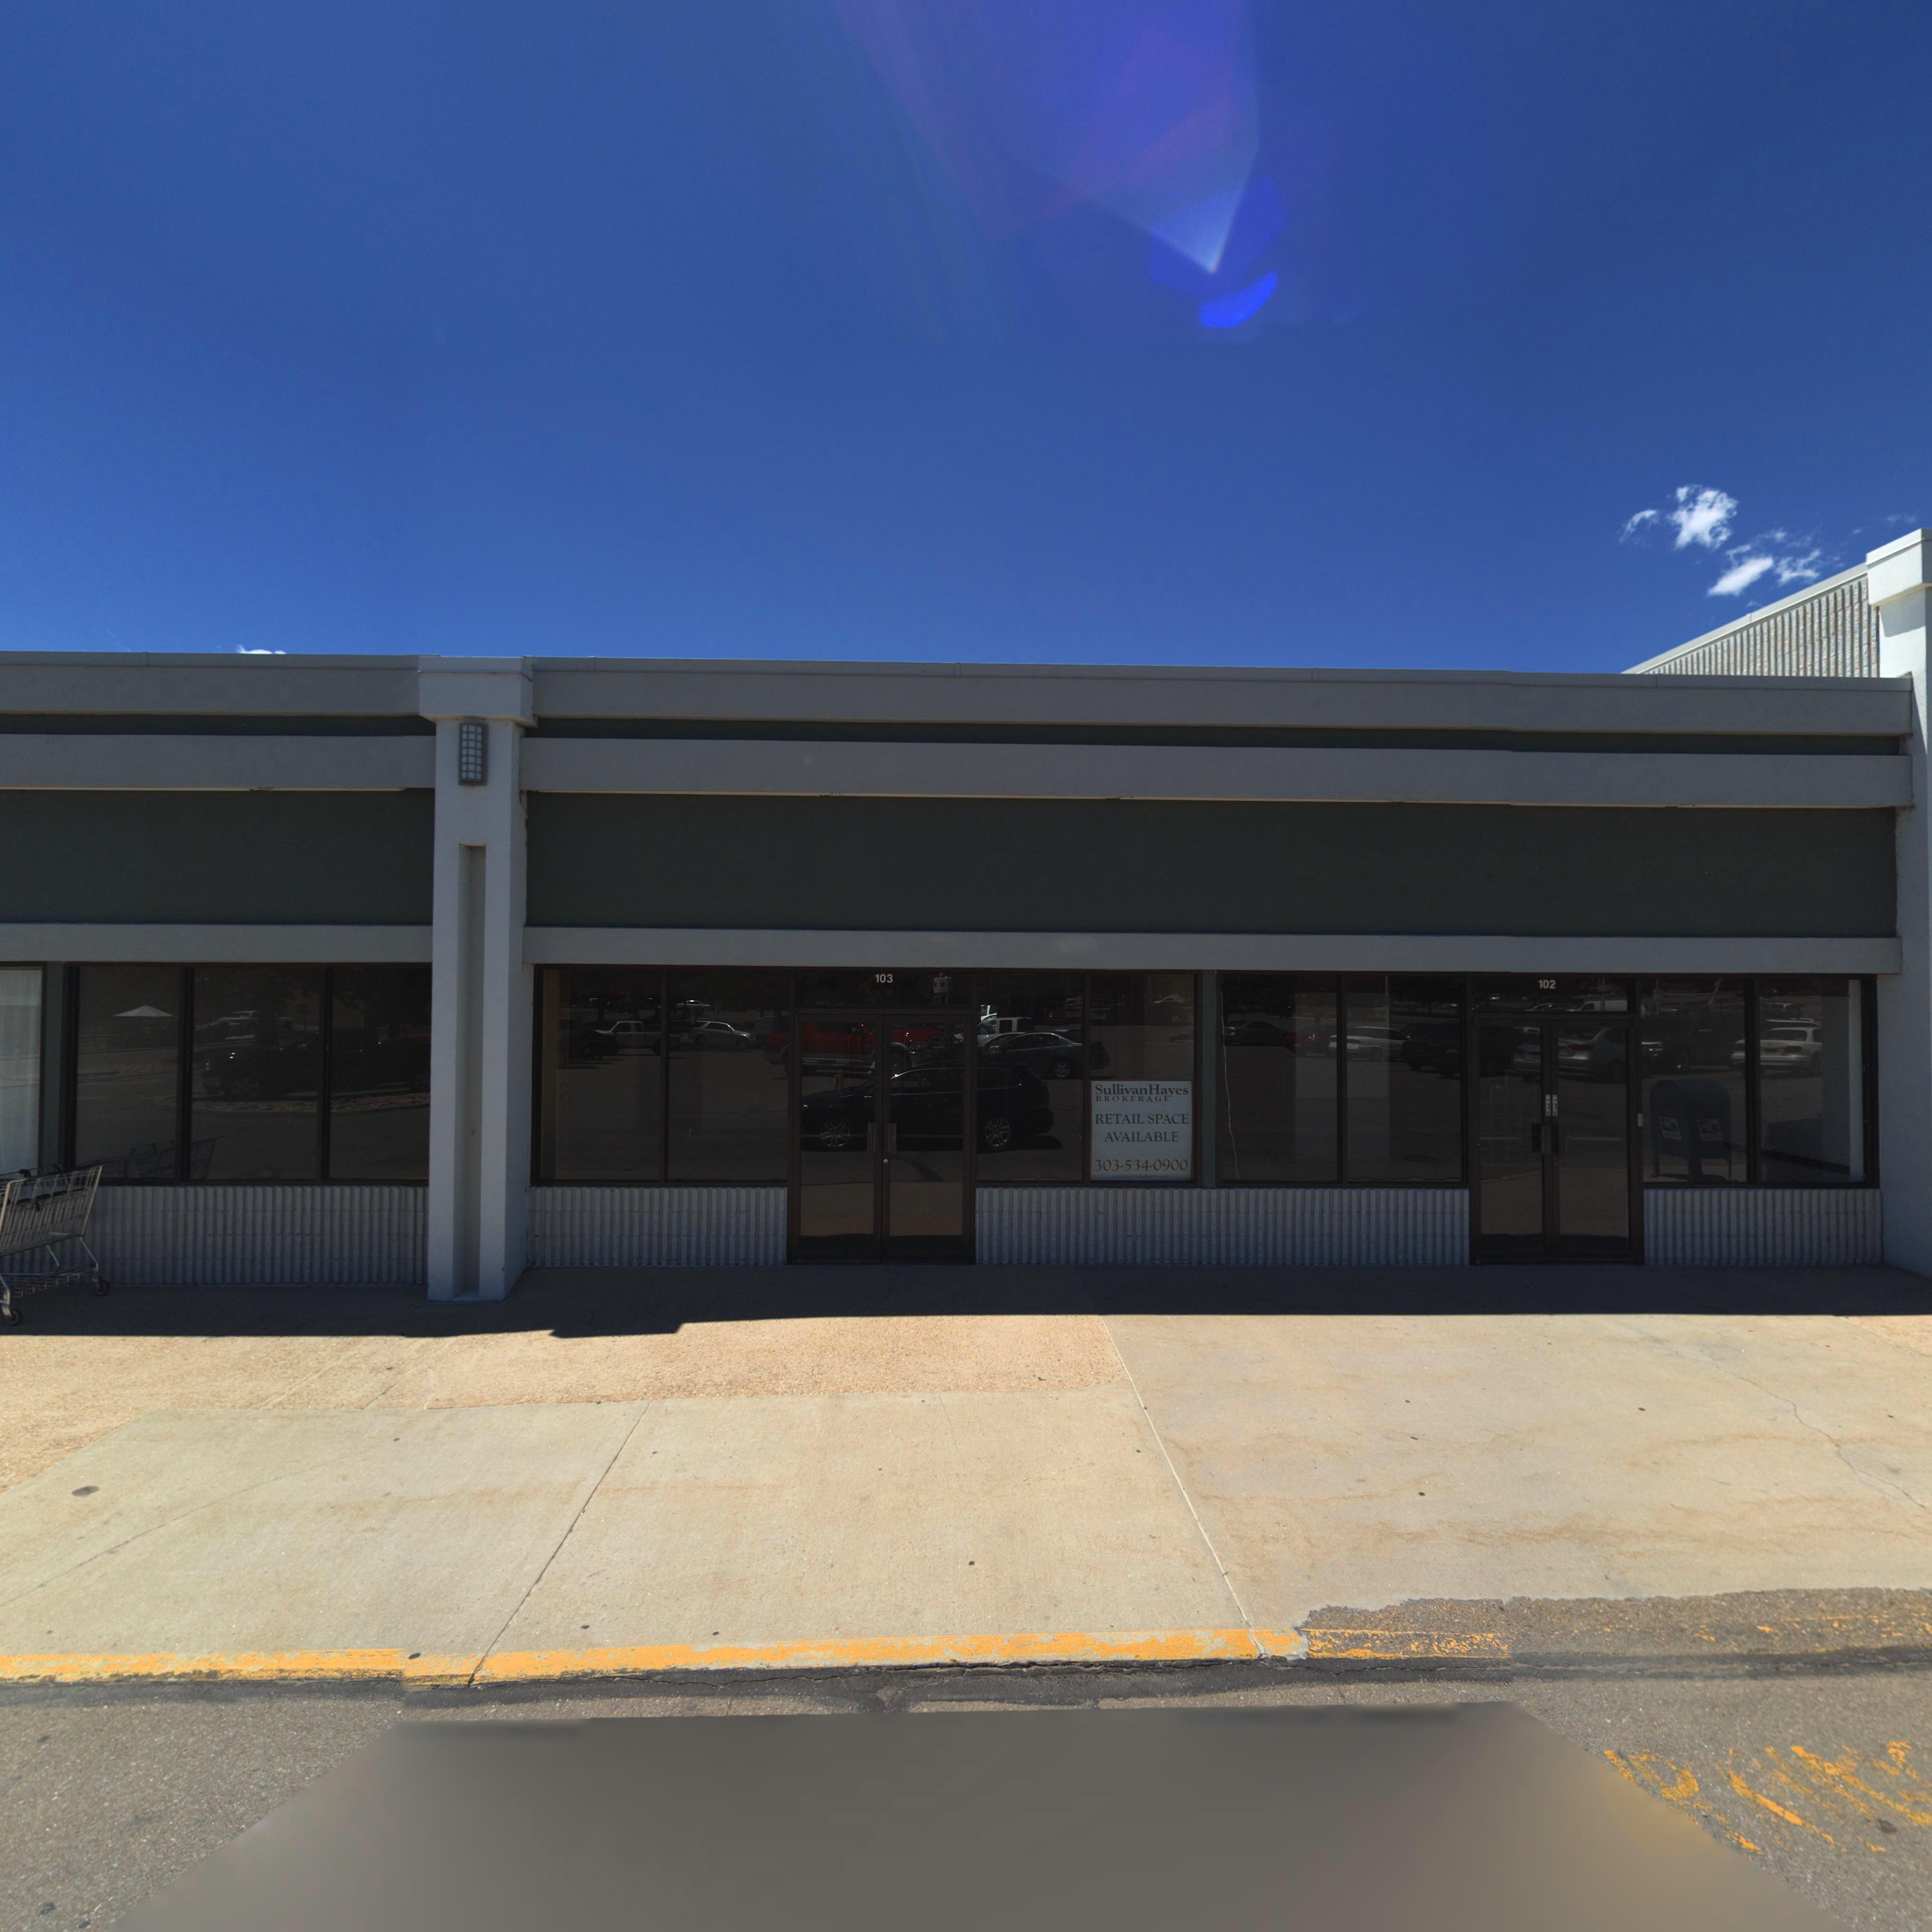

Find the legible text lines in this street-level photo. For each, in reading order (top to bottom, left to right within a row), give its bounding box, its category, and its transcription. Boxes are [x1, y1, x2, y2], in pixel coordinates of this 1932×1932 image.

[874, 973, 893, 983] StreetNumber: 103
[1538, 978, 1556, 989] StreetNumber: 102